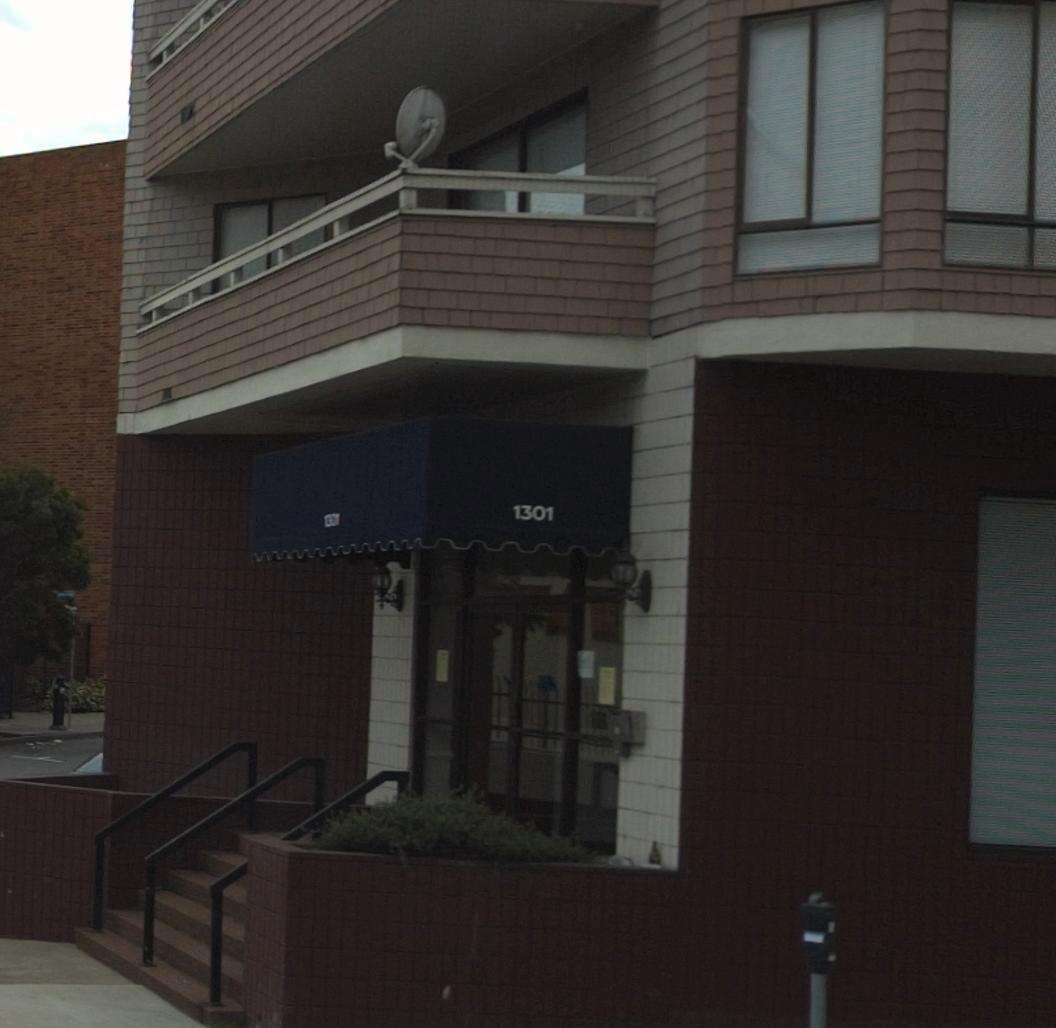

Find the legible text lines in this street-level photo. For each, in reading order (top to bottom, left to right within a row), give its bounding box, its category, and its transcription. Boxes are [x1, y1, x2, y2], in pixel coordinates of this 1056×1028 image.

[511, 504, 554, 522] StreetNumber: 1301